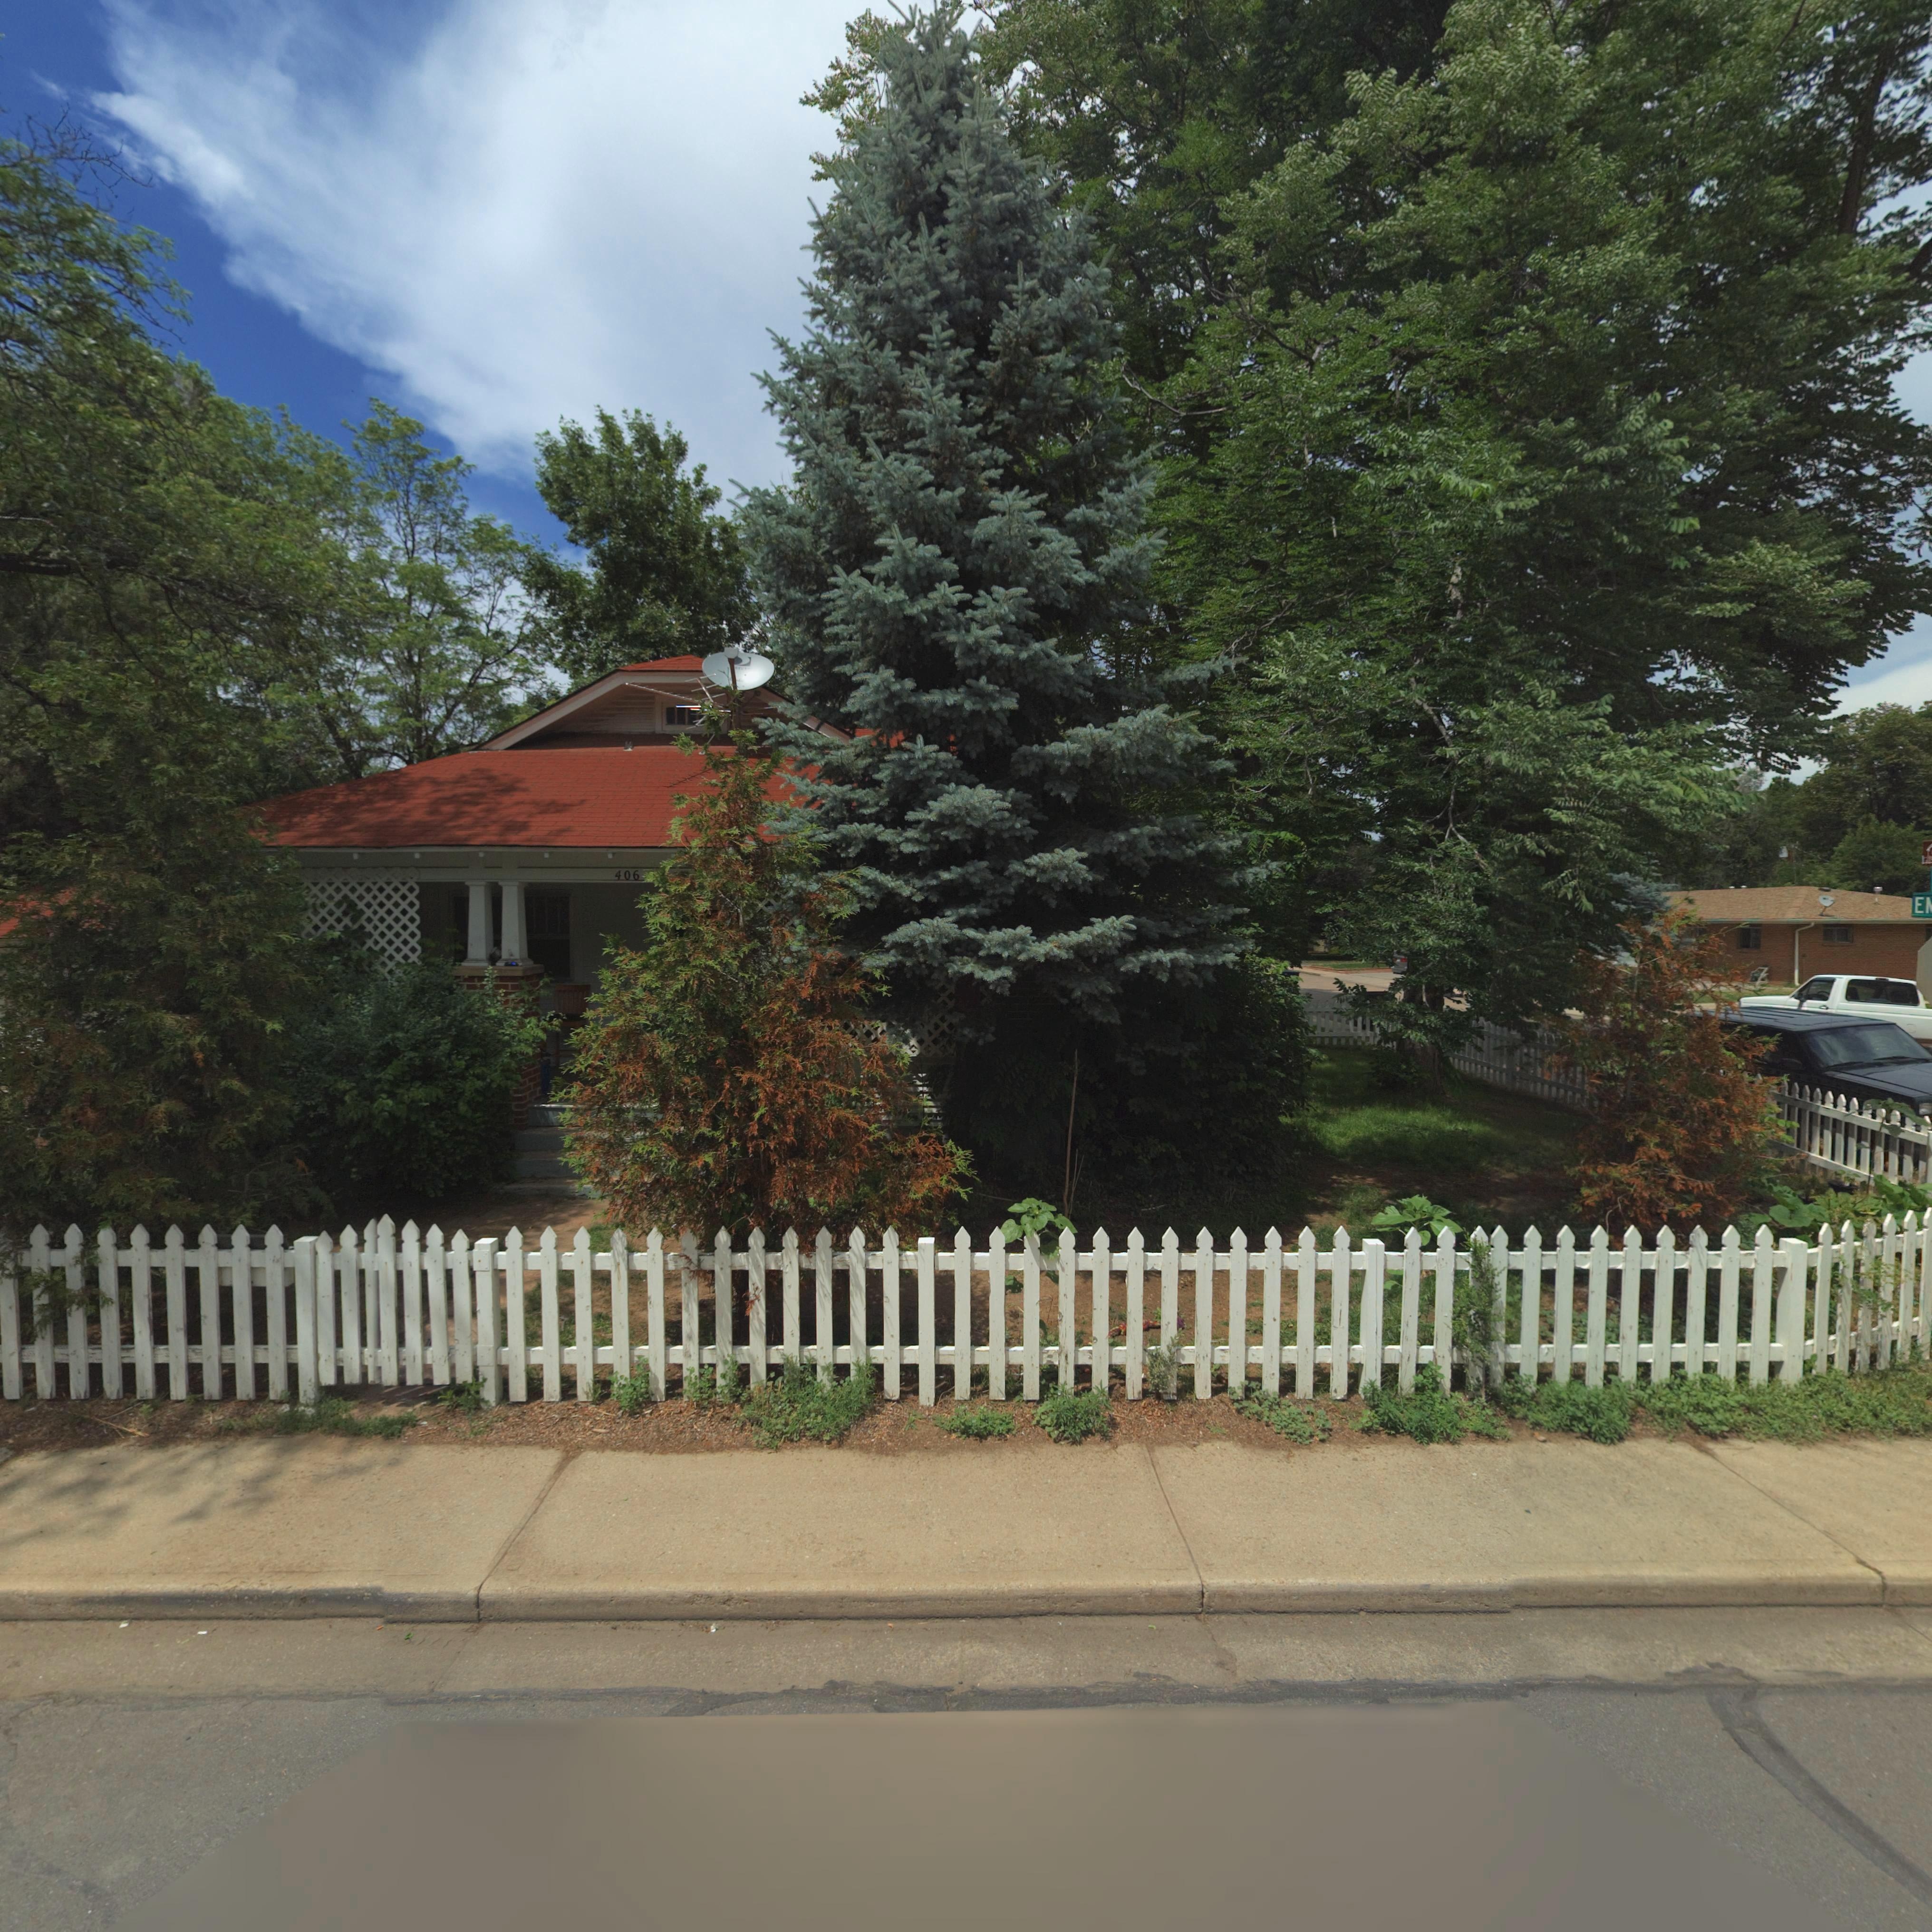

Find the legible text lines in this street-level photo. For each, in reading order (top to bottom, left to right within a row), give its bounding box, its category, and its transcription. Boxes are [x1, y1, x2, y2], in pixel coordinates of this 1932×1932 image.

[615, 869, 639, 880] StreetNumber: 406
[1915, 897, 1929, 913] StreetName: E**** **